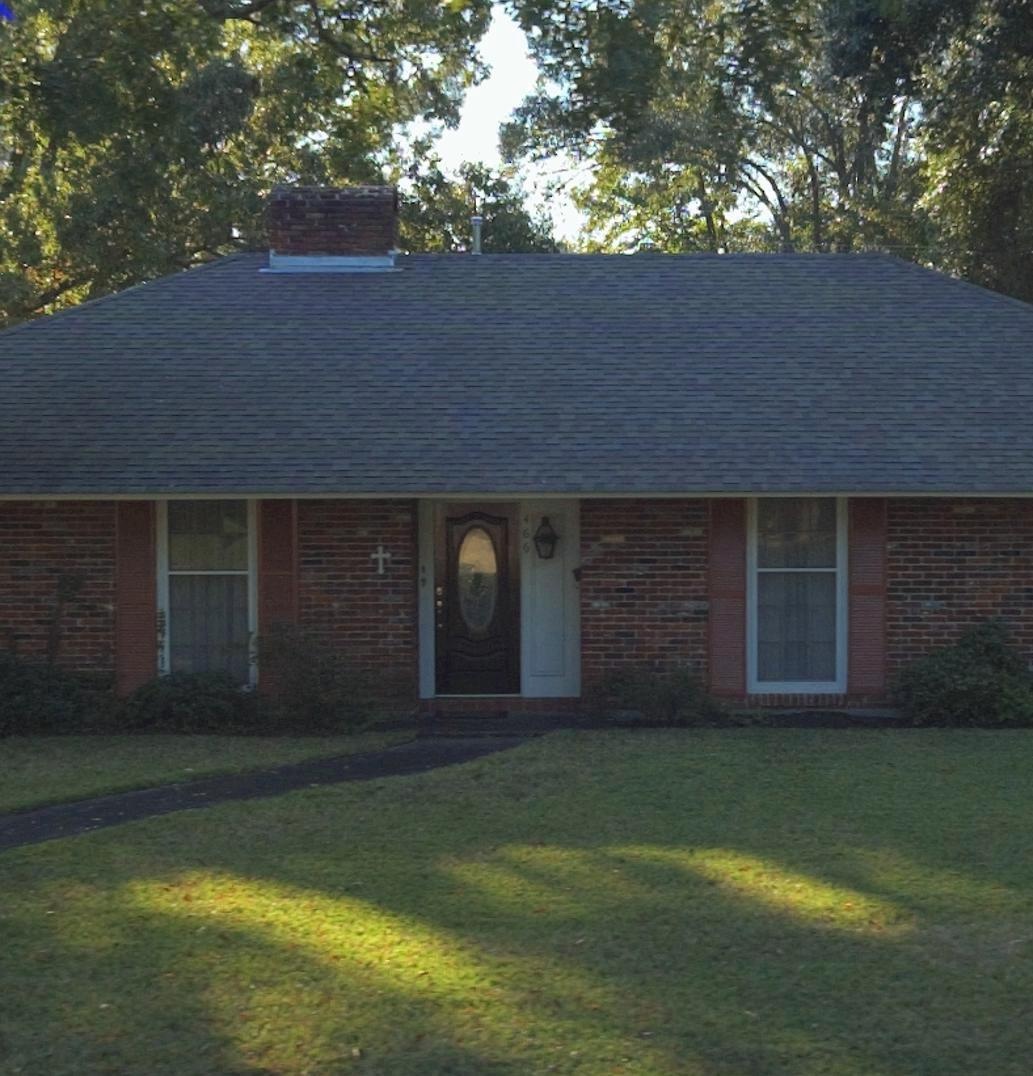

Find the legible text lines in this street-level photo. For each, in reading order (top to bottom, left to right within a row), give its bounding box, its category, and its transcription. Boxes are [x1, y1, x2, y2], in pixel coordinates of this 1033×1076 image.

[521, 513, 531, 554] StreetNumber: 466